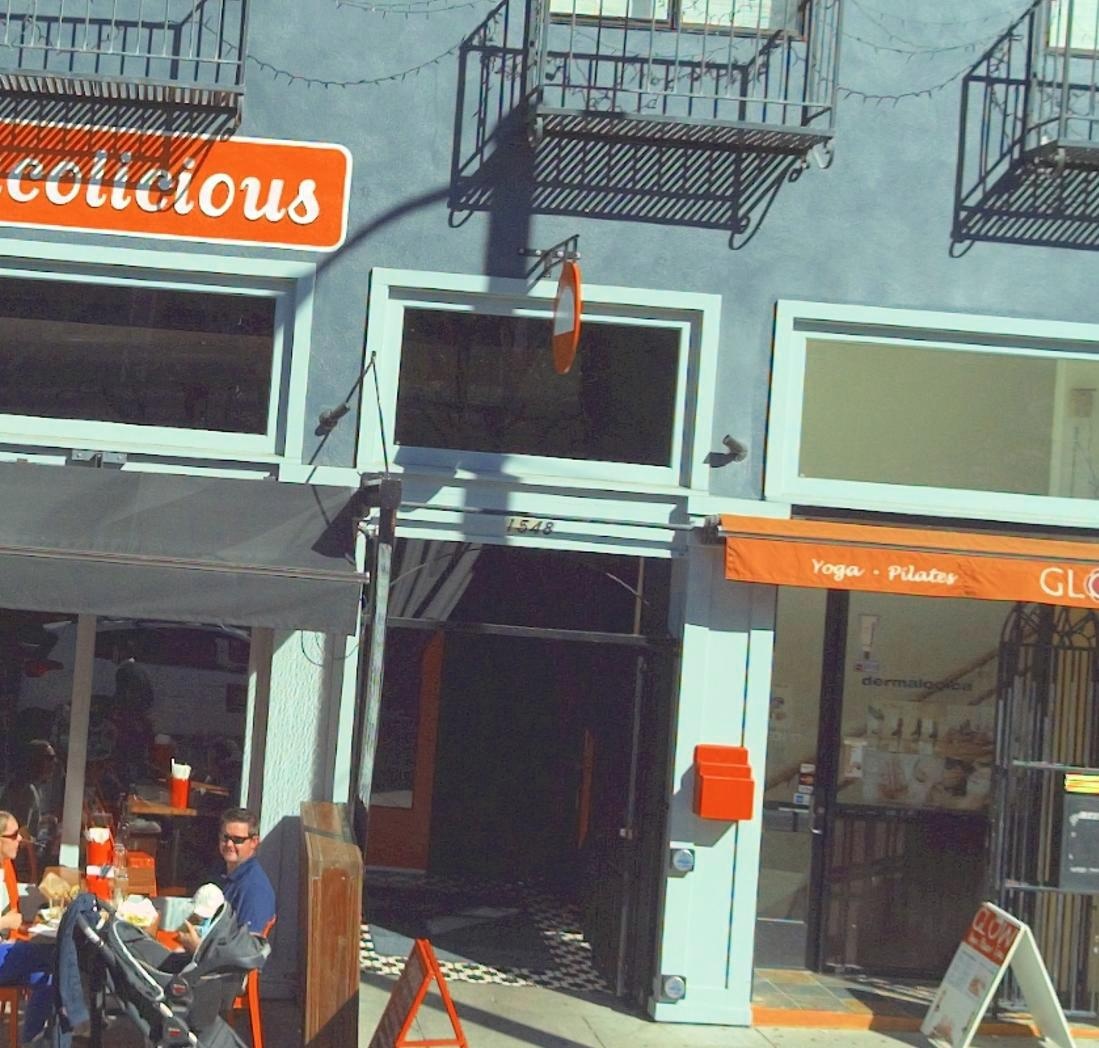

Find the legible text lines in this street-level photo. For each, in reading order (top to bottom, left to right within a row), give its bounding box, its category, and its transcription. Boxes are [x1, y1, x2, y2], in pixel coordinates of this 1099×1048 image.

[196, 171, 323, 227] BusinessName: ous
[503, 517, 556, 537] StreetNumber: 1548
[809, 556, 962, 586] None: Yoga * Pilates
[1037, 565, 1088, 600] BusinessName: GL
[859, 675, 935, 688] None: dermalo
[985, 916, 1021, 950] BusinessName: OW